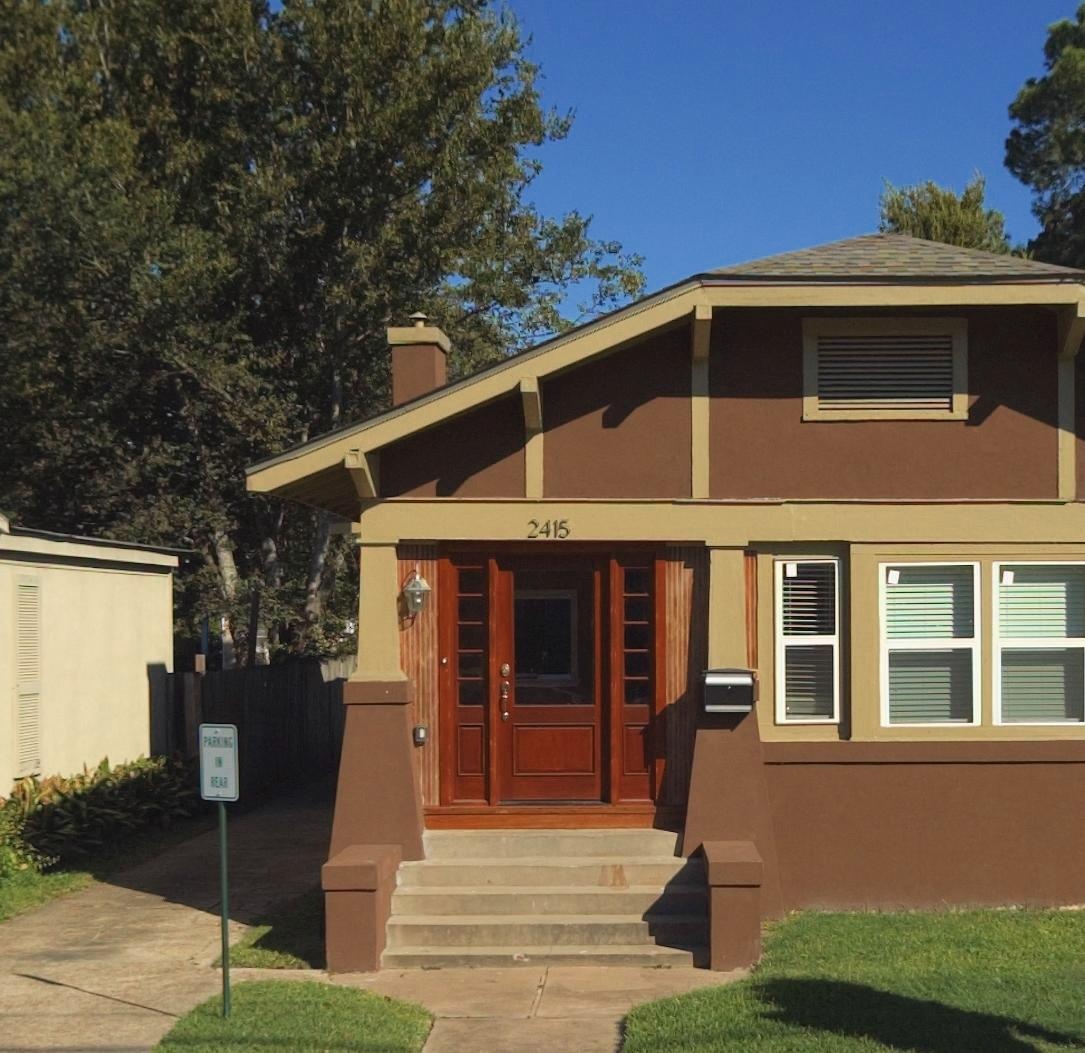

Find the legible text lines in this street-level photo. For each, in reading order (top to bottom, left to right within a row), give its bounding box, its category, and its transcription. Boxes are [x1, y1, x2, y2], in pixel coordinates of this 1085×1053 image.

[525, 517, 572, 541] StreetNumber: 2415